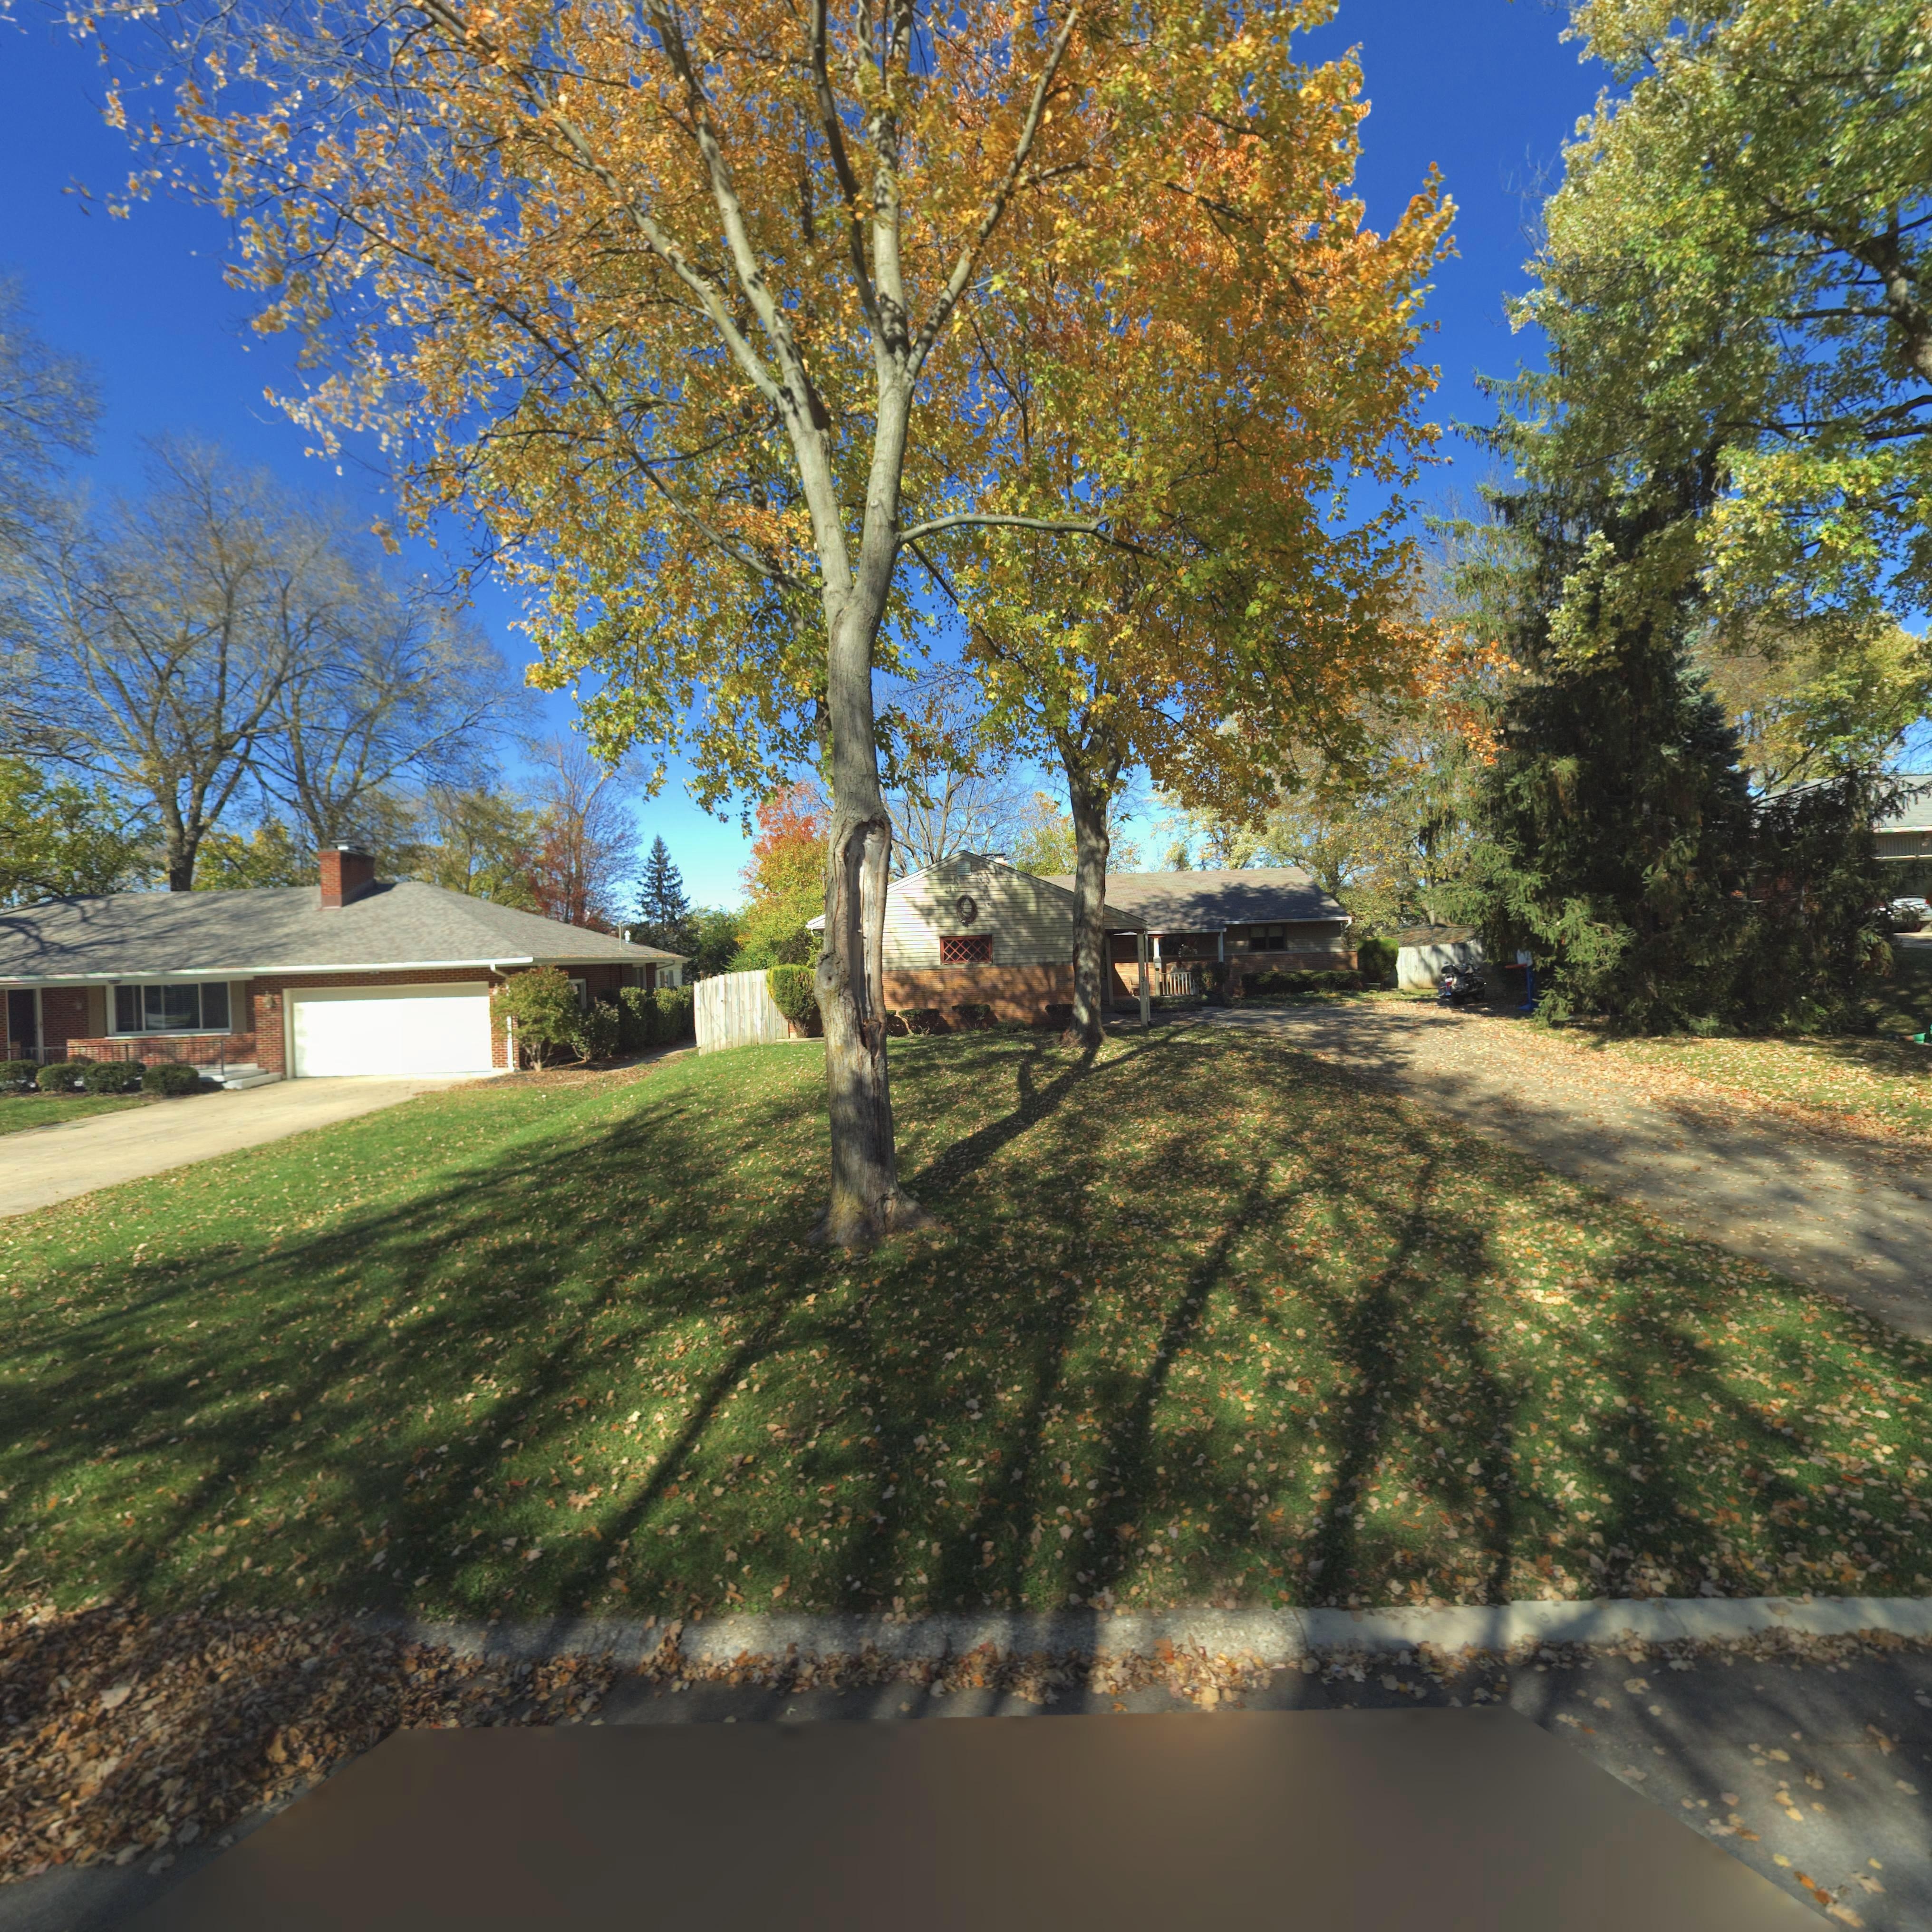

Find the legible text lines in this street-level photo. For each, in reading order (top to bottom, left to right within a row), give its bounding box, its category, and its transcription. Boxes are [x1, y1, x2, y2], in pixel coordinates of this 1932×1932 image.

[1140, 976, 1146, 996] StreetNumber: 311